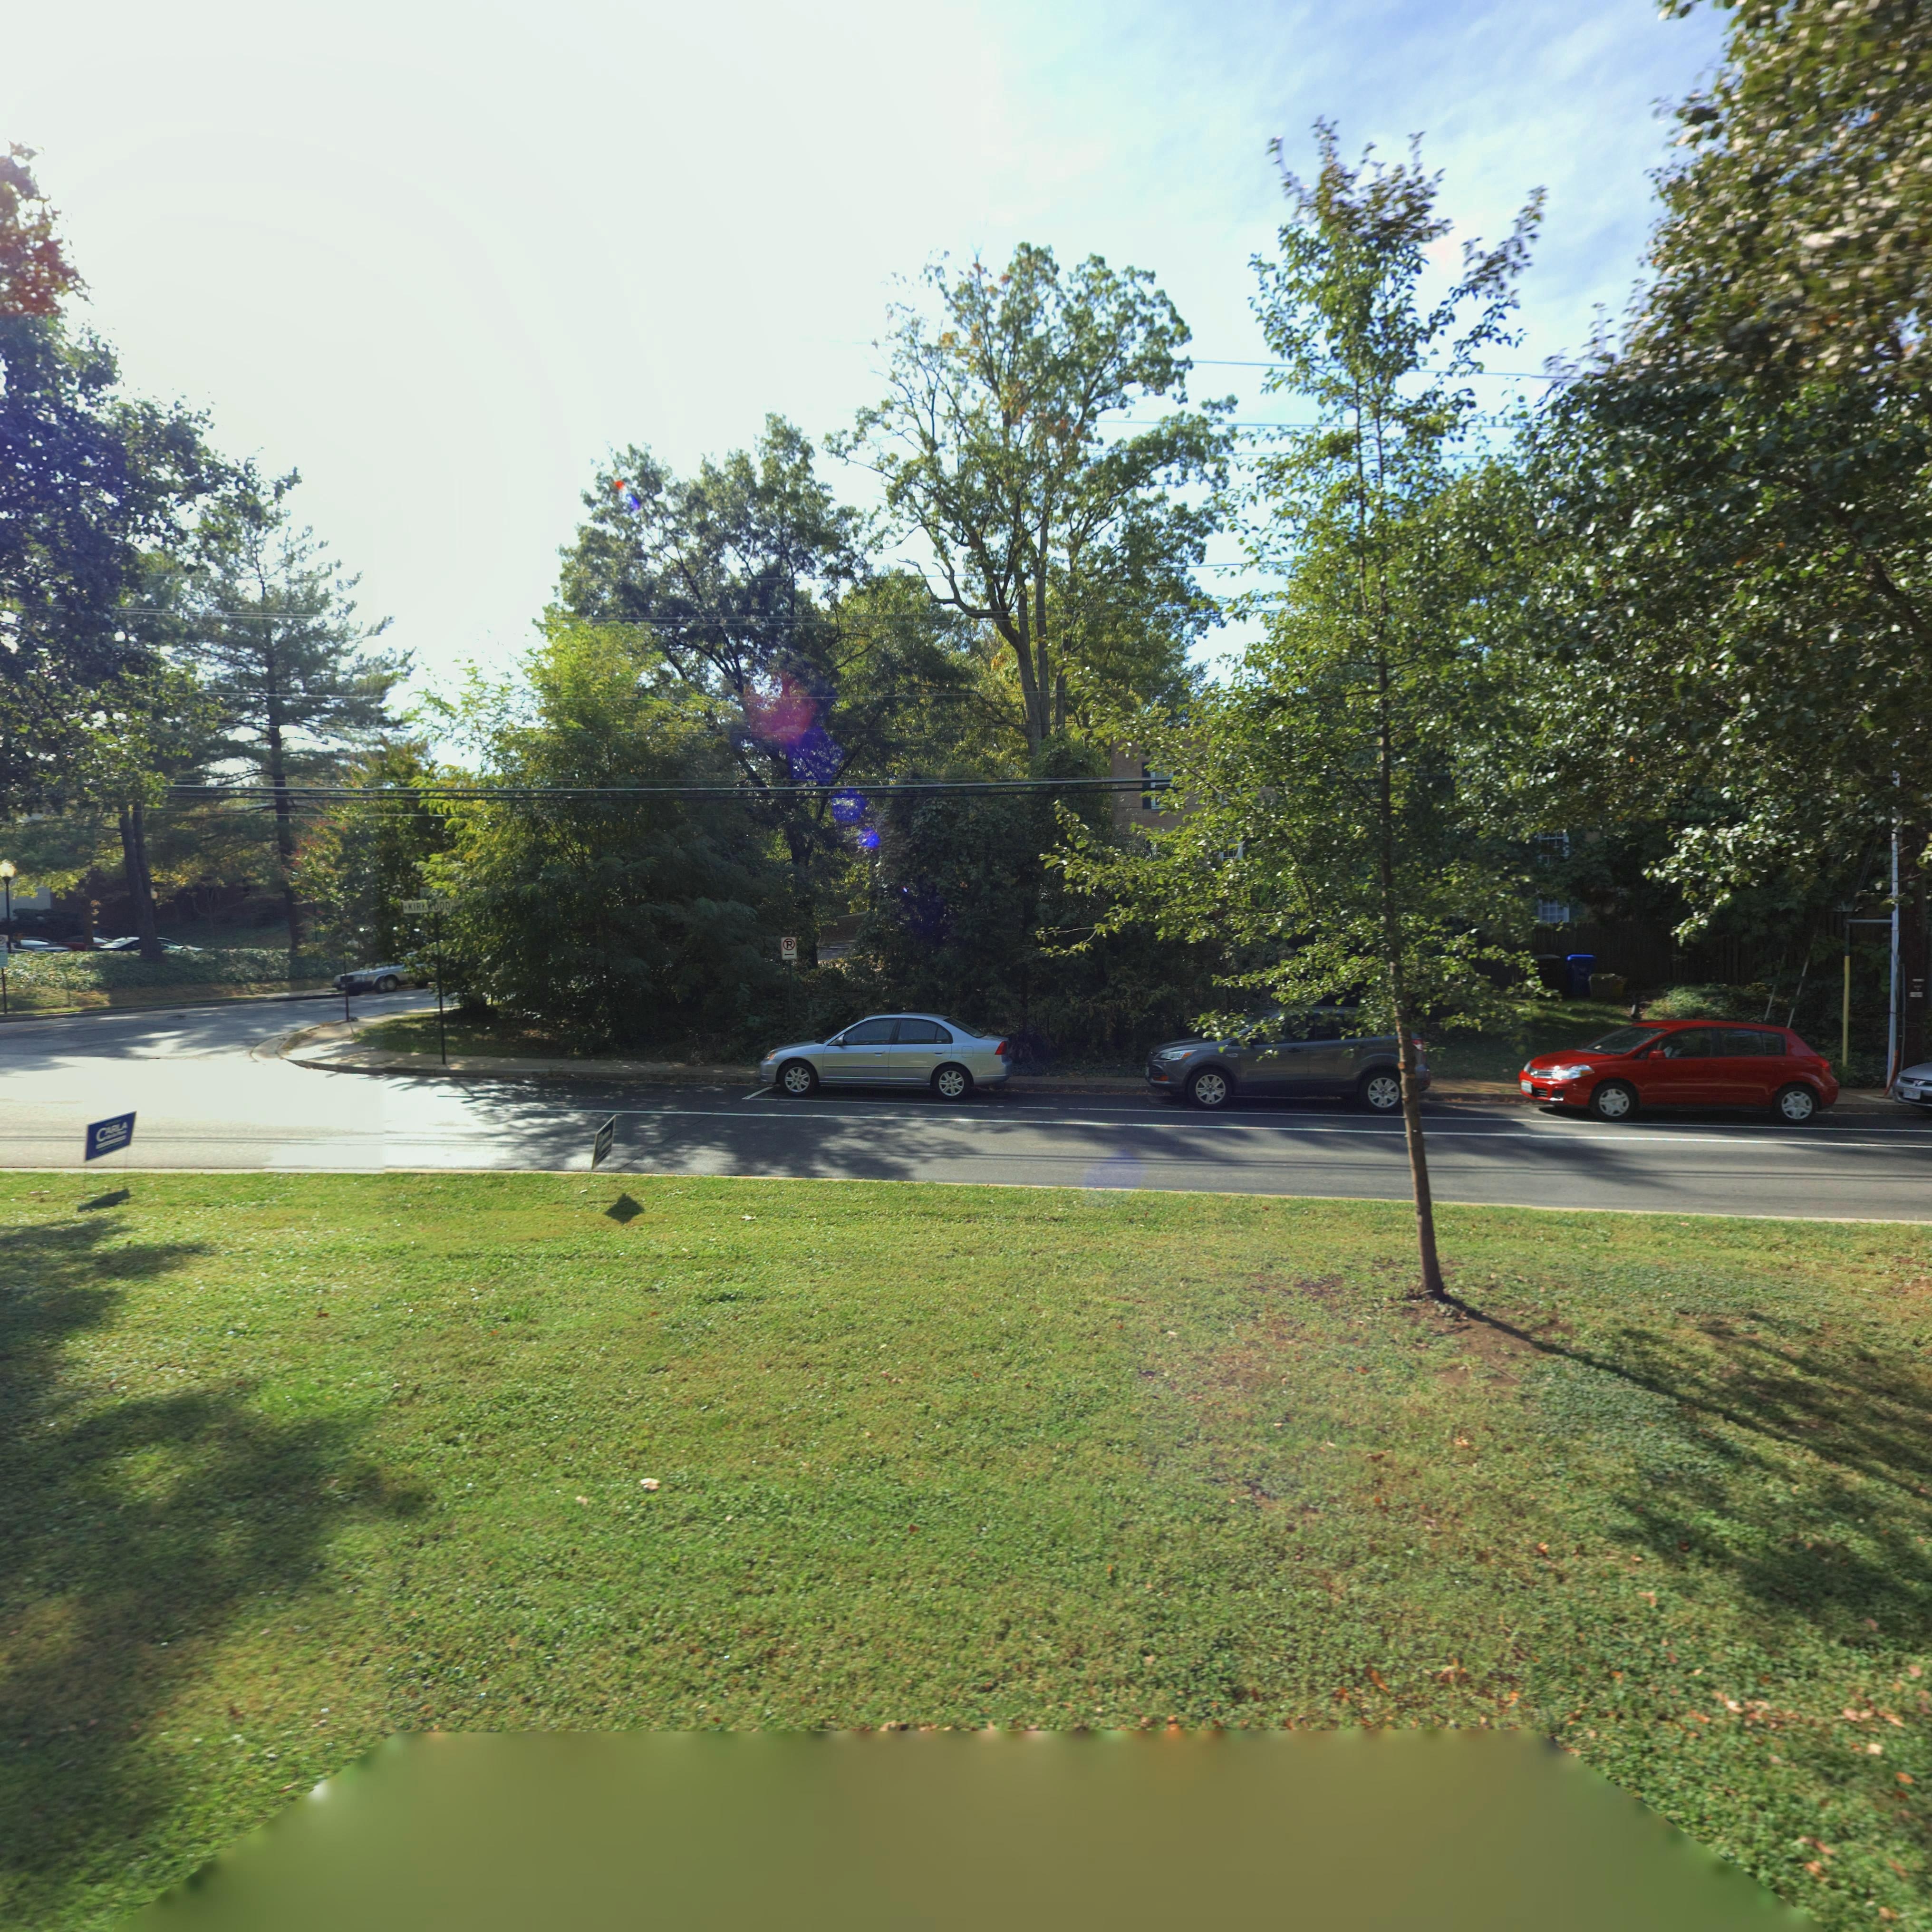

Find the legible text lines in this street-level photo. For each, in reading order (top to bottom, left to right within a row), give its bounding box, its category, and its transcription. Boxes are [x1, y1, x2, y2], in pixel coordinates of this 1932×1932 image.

[407, 902, 451, 912] StreetName: KIR**OOD
[96, 1121, 128, 1142] None: CARLA